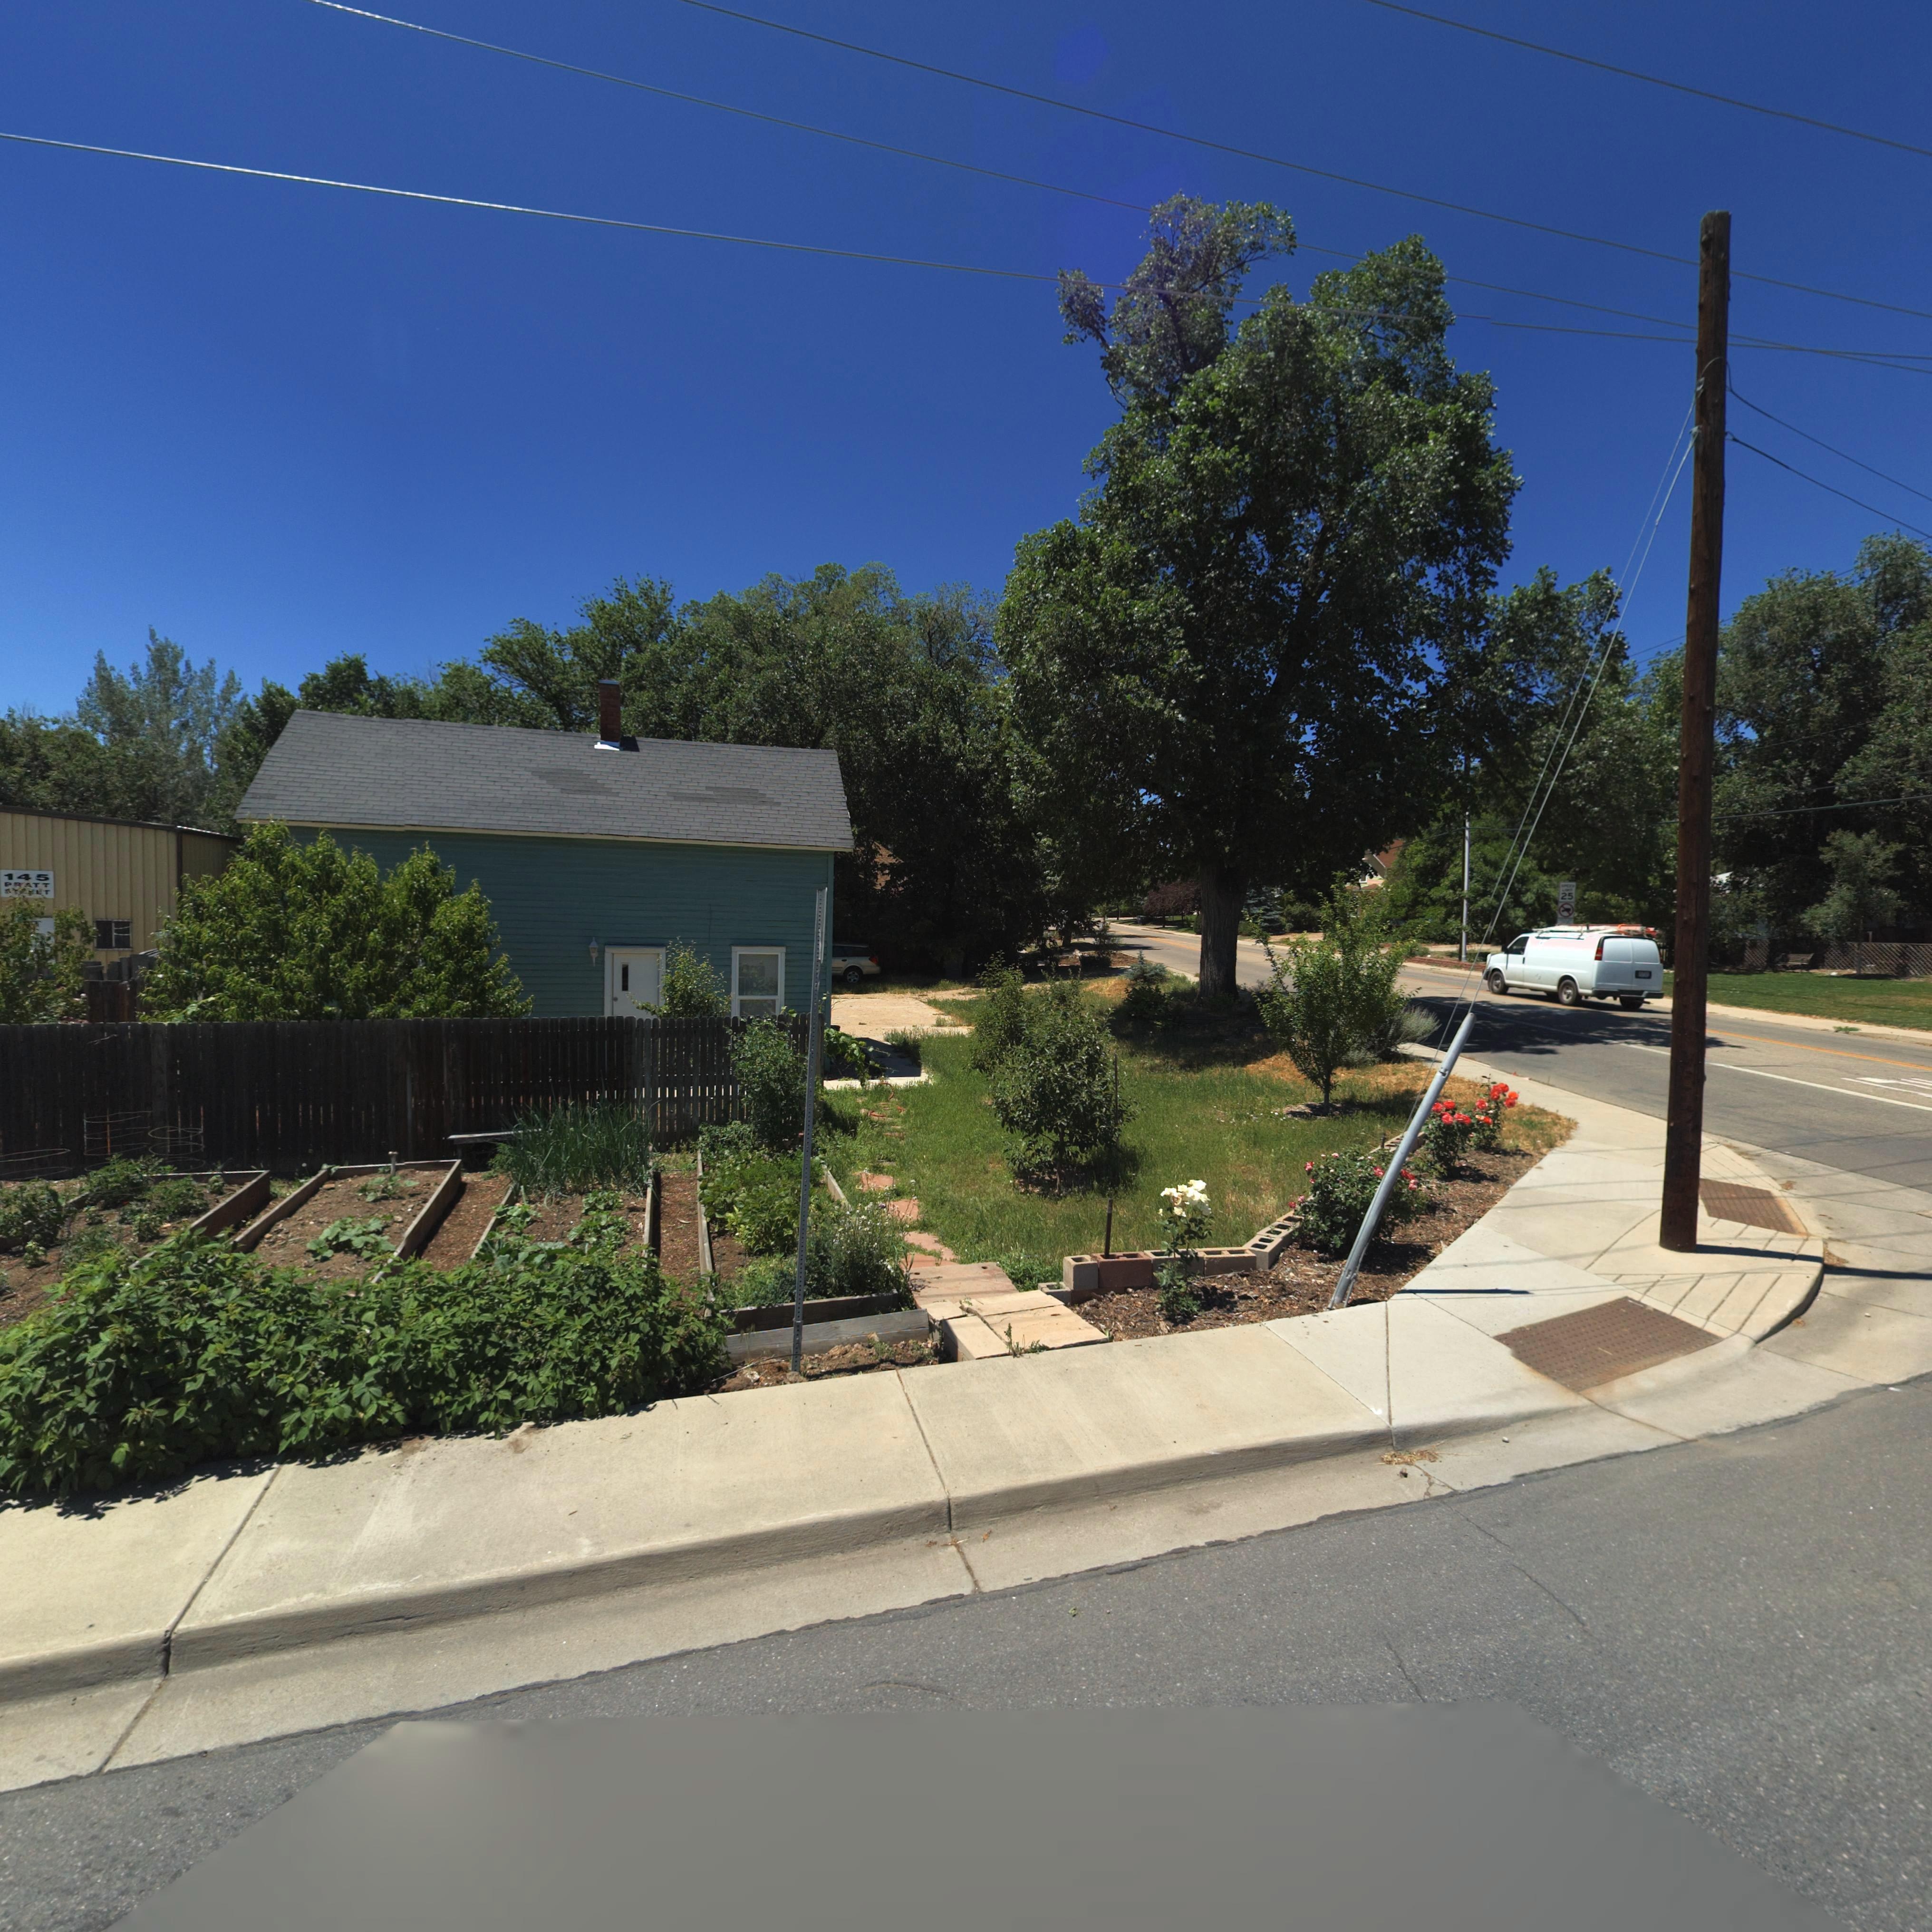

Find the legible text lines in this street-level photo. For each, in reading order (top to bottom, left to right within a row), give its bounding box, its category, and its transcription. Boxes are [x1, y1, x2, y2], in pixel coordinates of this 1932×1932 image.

[3, 873, 50, 881] StreetNumber: 145
[4, 882, 50, 888] StreetName: PRATT
[4, 889, 51, 895] StreetName: S**EET